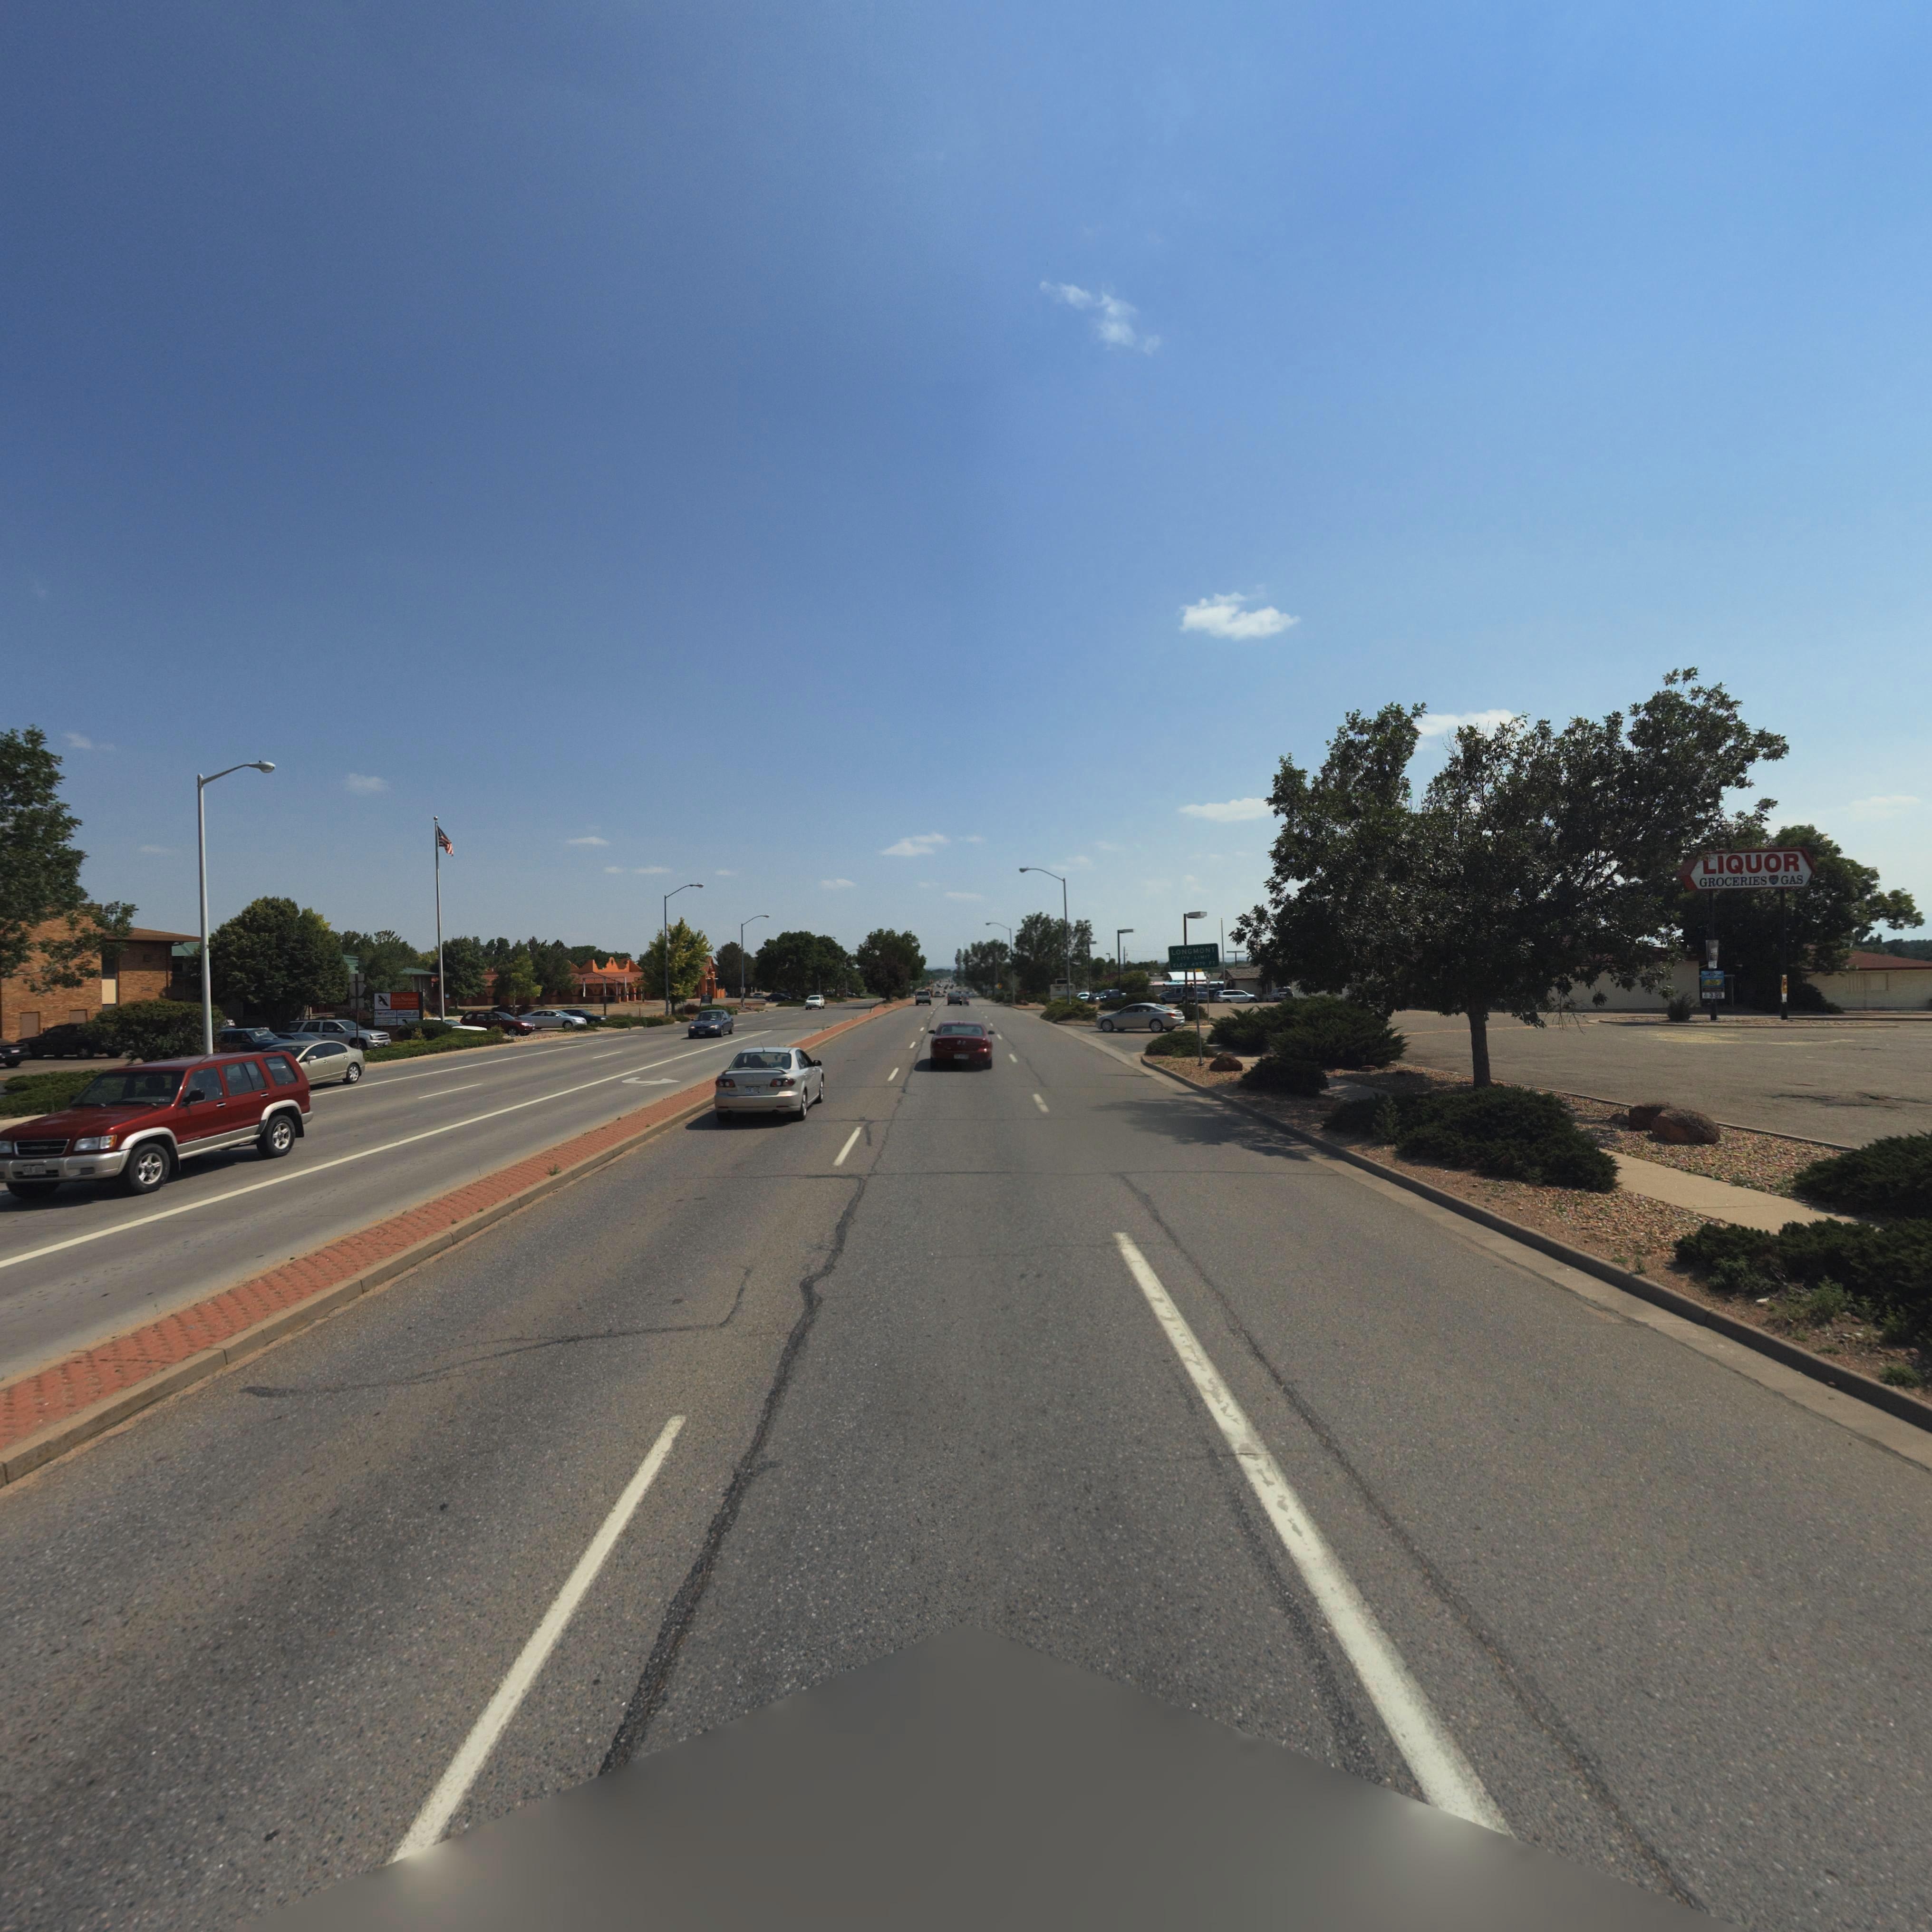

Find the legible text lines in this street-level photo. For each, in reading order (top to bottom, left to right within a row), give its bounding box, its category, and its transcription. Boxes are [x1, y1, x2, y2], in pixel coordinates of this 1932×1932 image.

[391, 996, 417, 1001] BusinessName: F*** N*****